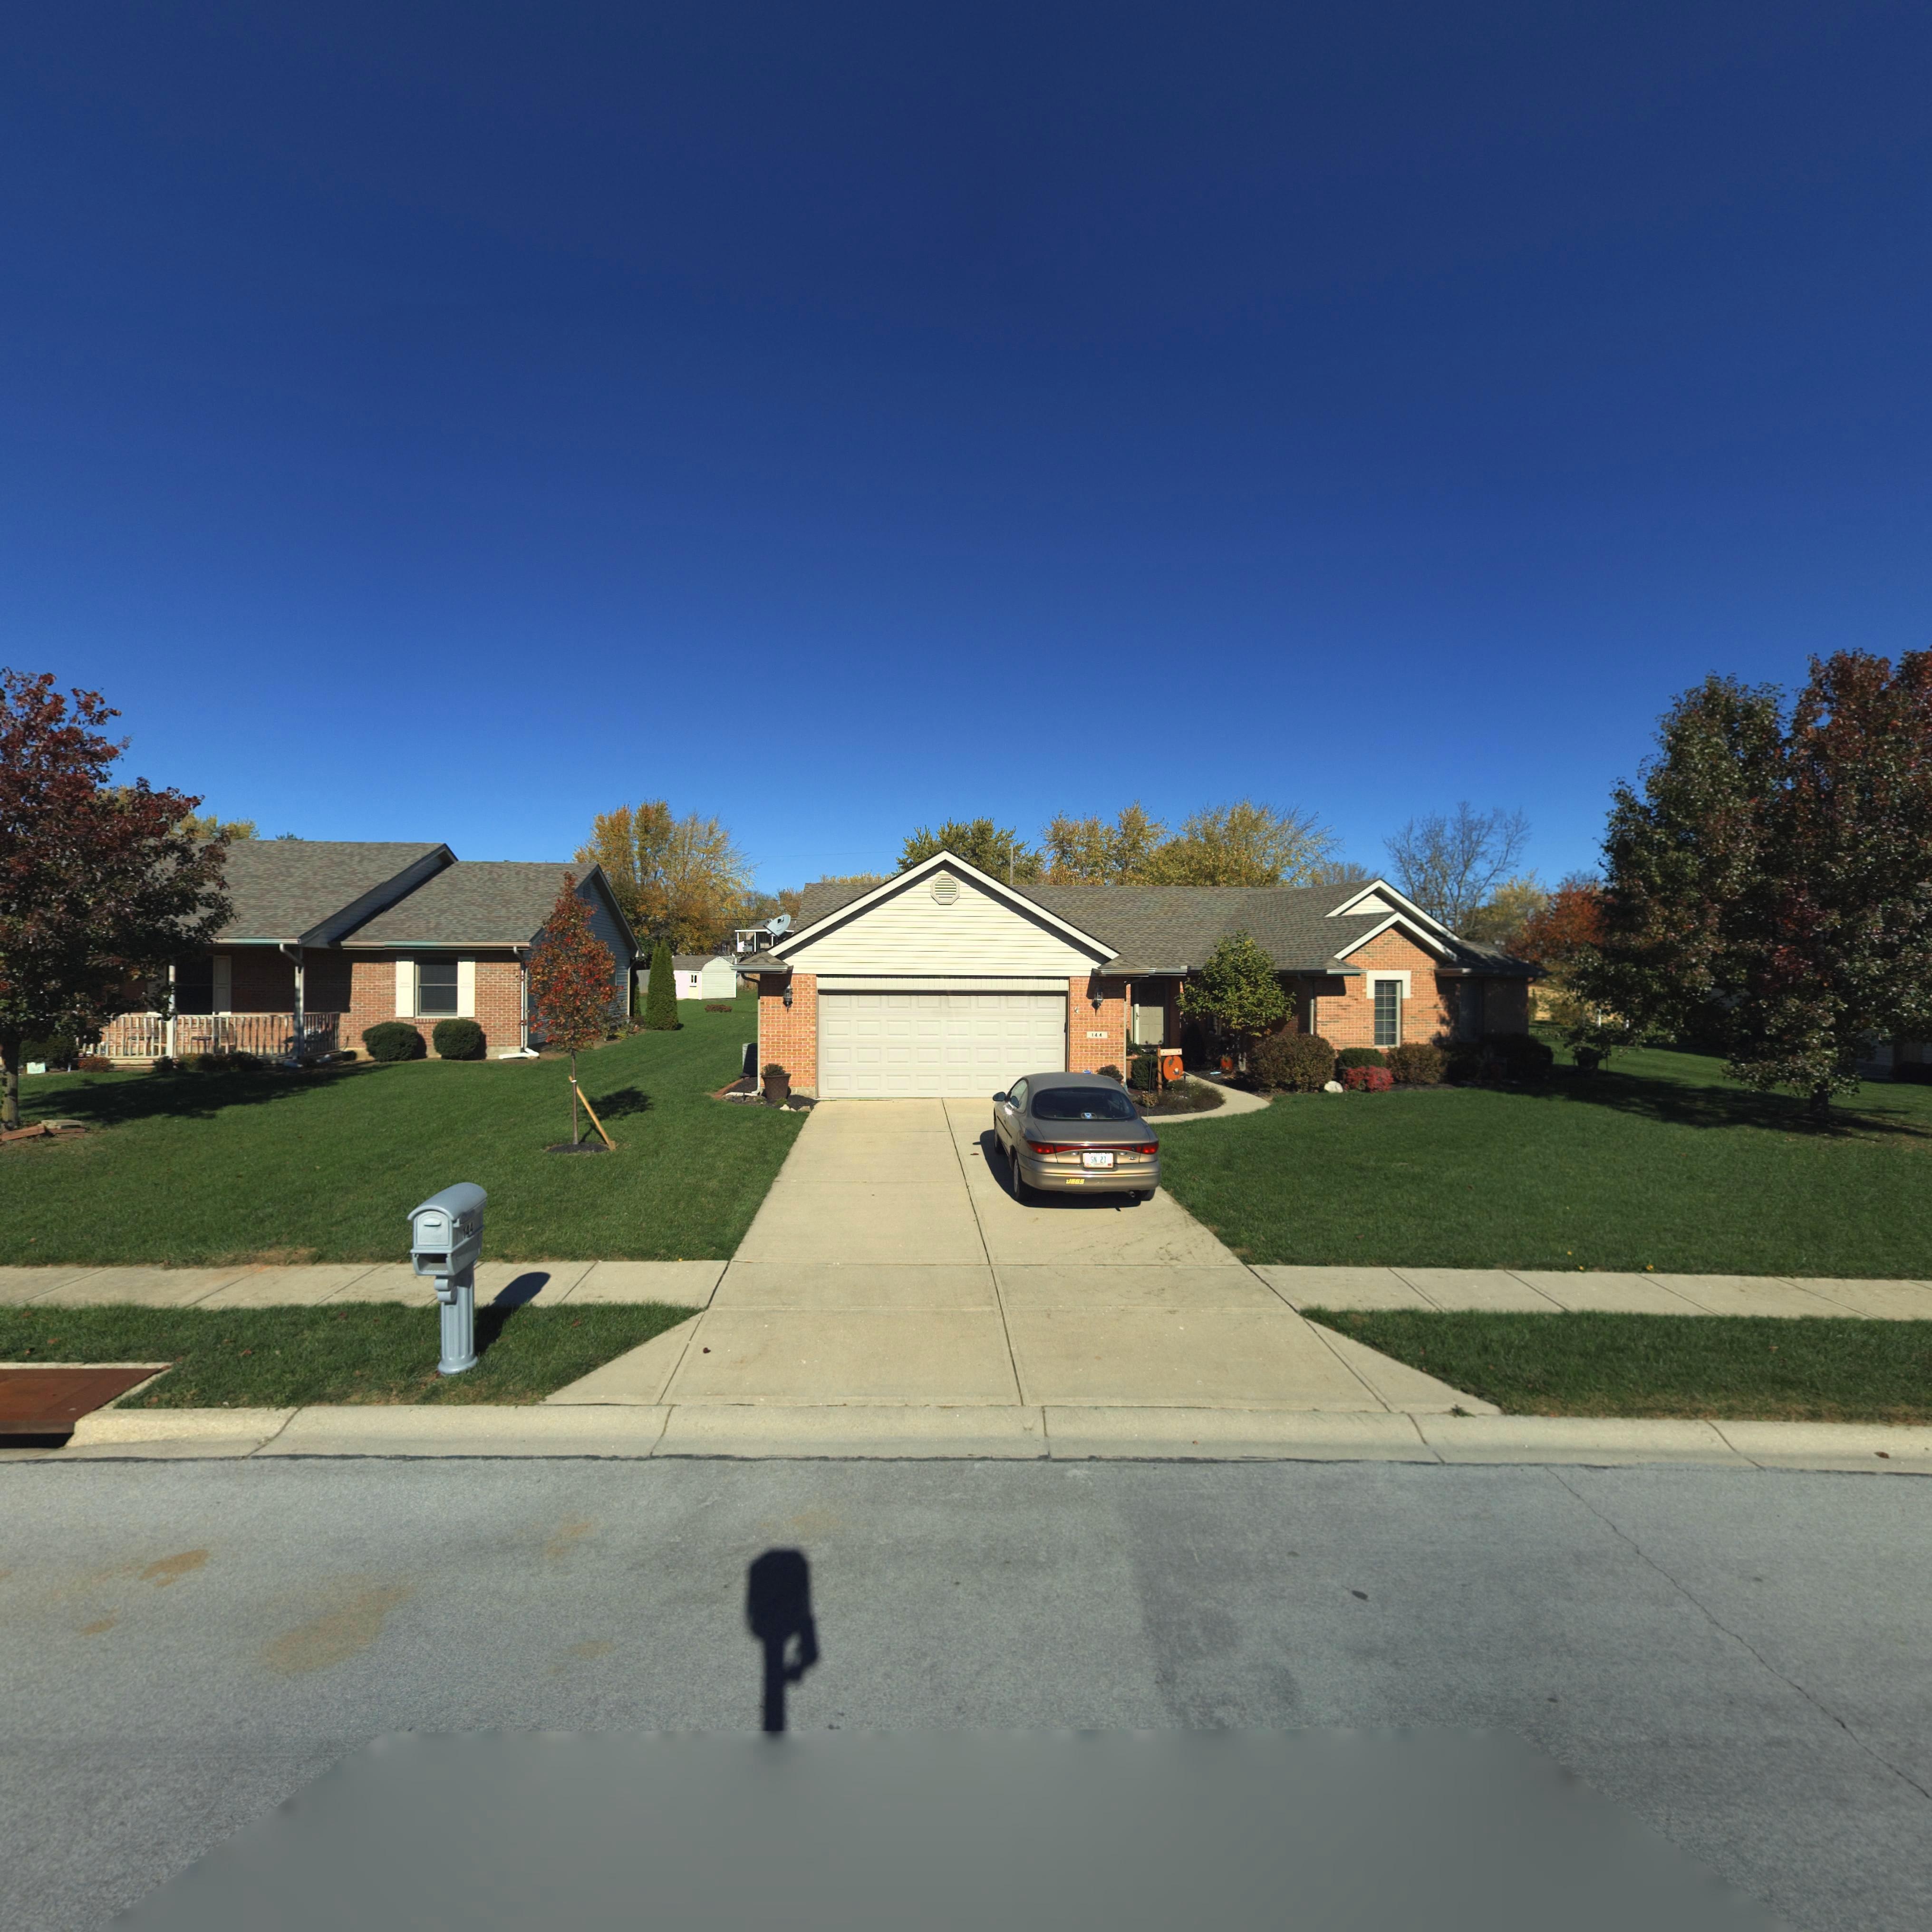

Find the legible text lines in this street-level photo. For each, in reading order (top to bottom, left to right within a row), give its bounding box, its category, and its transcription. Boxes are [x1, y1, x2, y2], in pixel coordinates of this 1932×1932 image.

[1091, 1033, 1102, 1037] StreetNumber: 144
[1090, 1154, 1106, 1163] None: SN 21
[462, 1220, 474, 1241] StreetNumber: 144